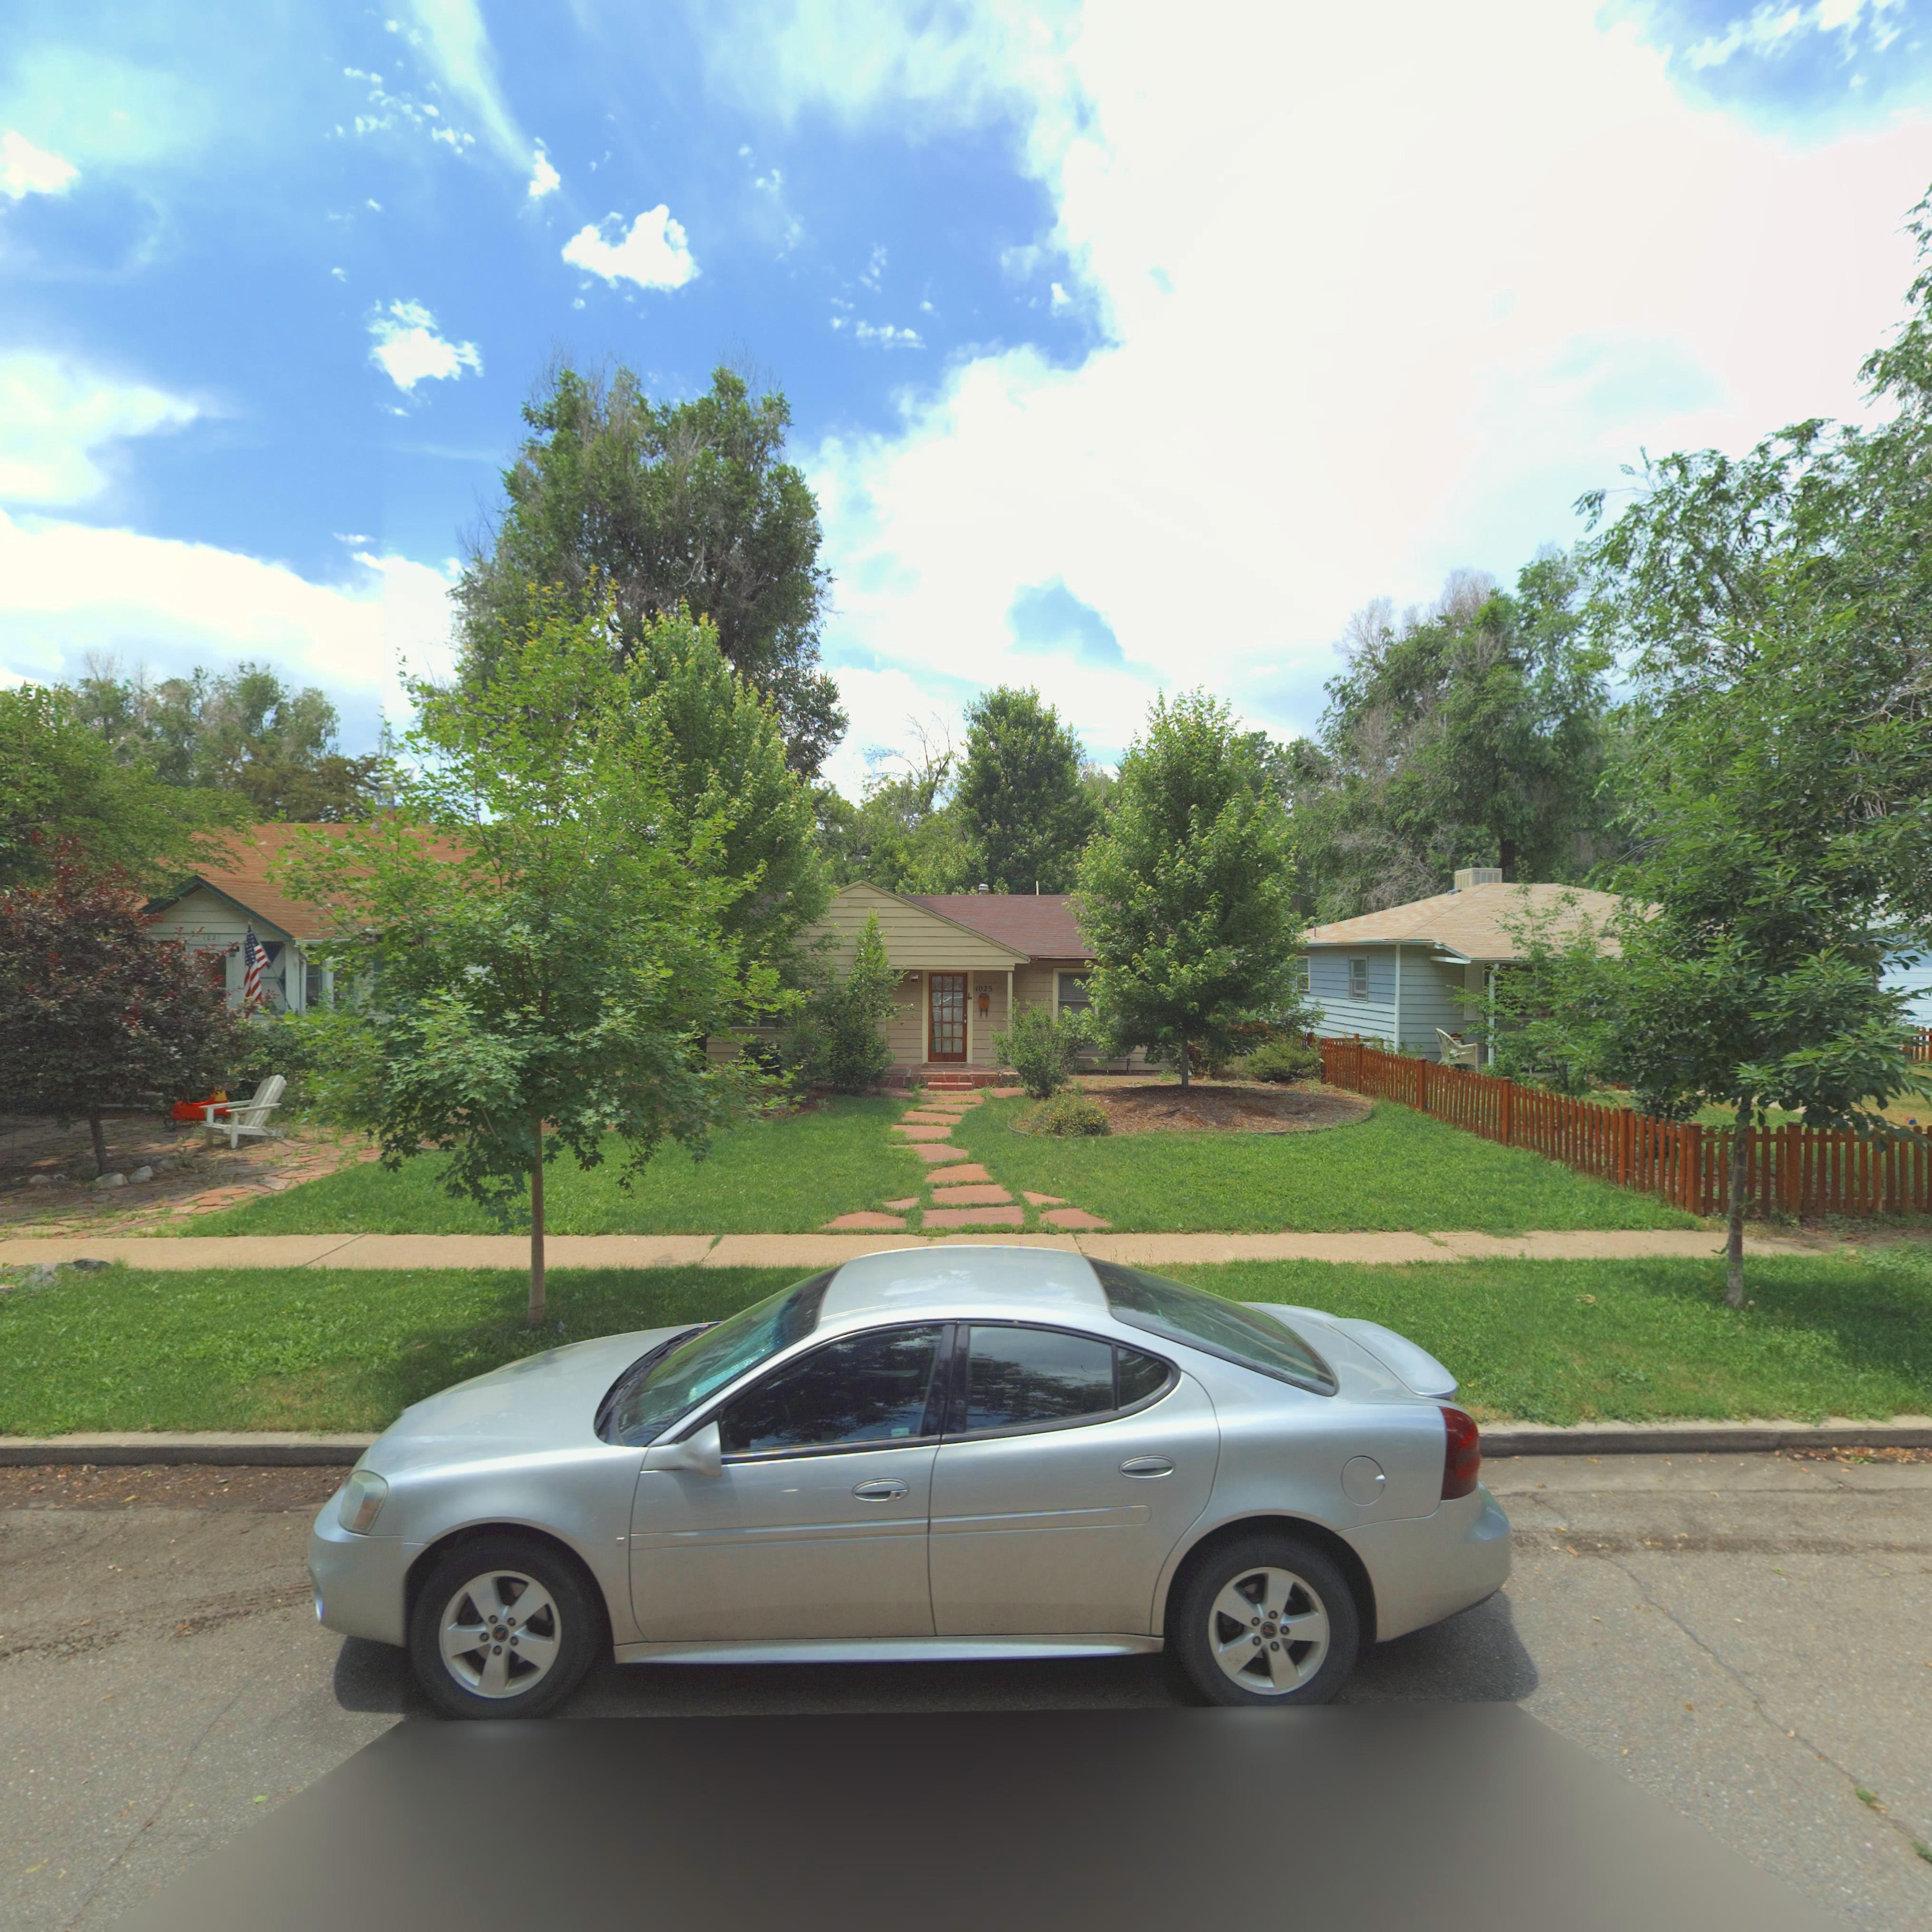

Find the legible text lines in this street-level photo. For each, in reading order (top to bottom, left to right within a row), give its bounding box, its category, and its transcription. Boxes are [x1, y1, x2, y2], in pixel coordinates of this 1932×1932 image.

[202, 934, 221, 941] StreetNumber: 10**
[975, 985, 992, 992] StreetNumber: 1025